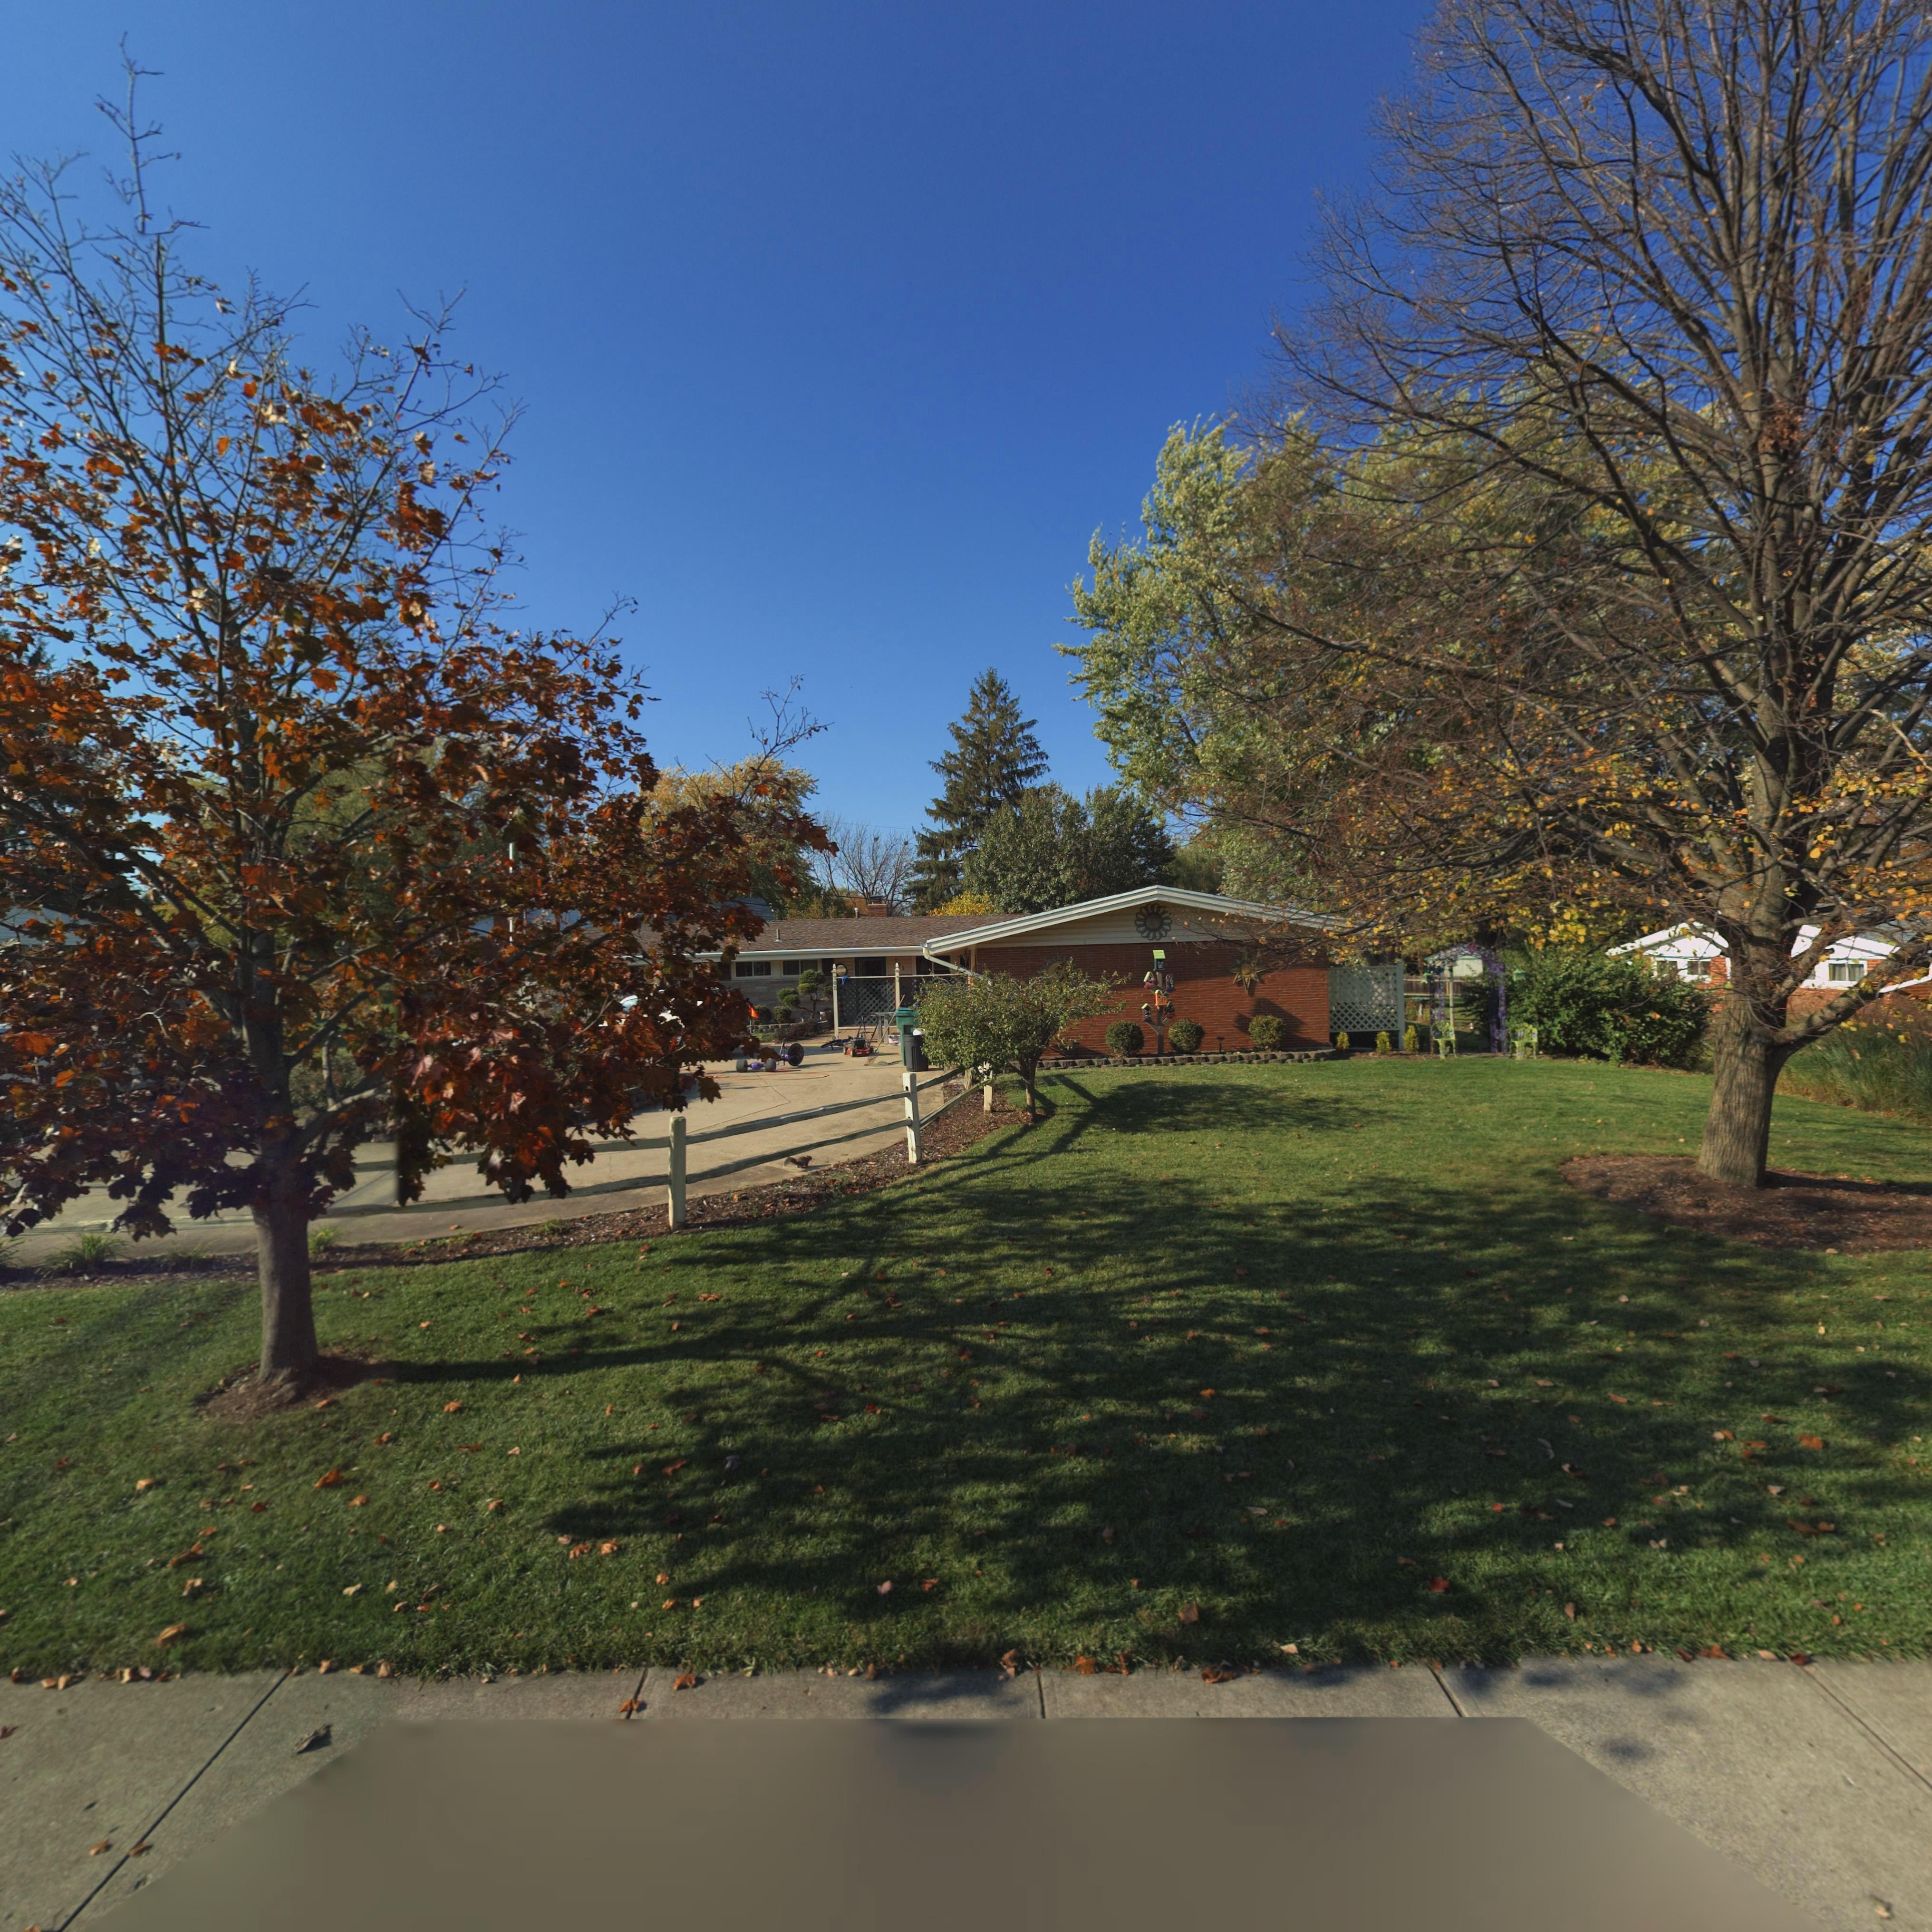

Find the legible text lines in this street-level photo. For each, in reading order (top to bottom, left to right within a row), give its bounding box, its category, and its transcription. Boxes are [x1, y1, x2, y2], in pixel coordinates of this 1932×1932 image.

[893, 957, 905, 972] StreetNumber: 7*5
[832, 975, 838, 992] StreetNumber: 705